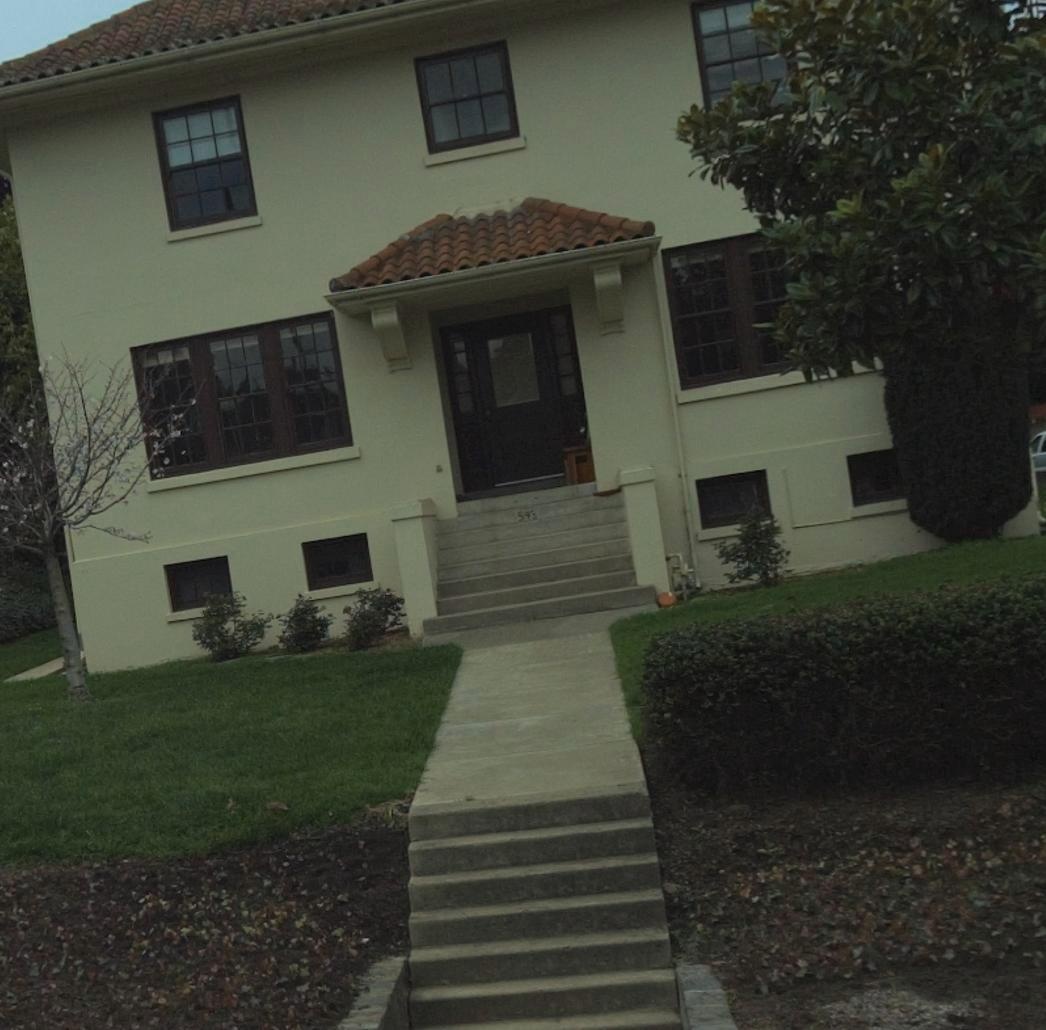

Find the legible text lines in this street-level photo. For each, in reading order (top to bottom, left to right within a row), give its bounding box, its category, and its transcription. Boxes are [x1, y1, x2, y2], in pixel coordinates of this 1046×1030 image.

[516, 508, 538, 523] StreetNumber: 543